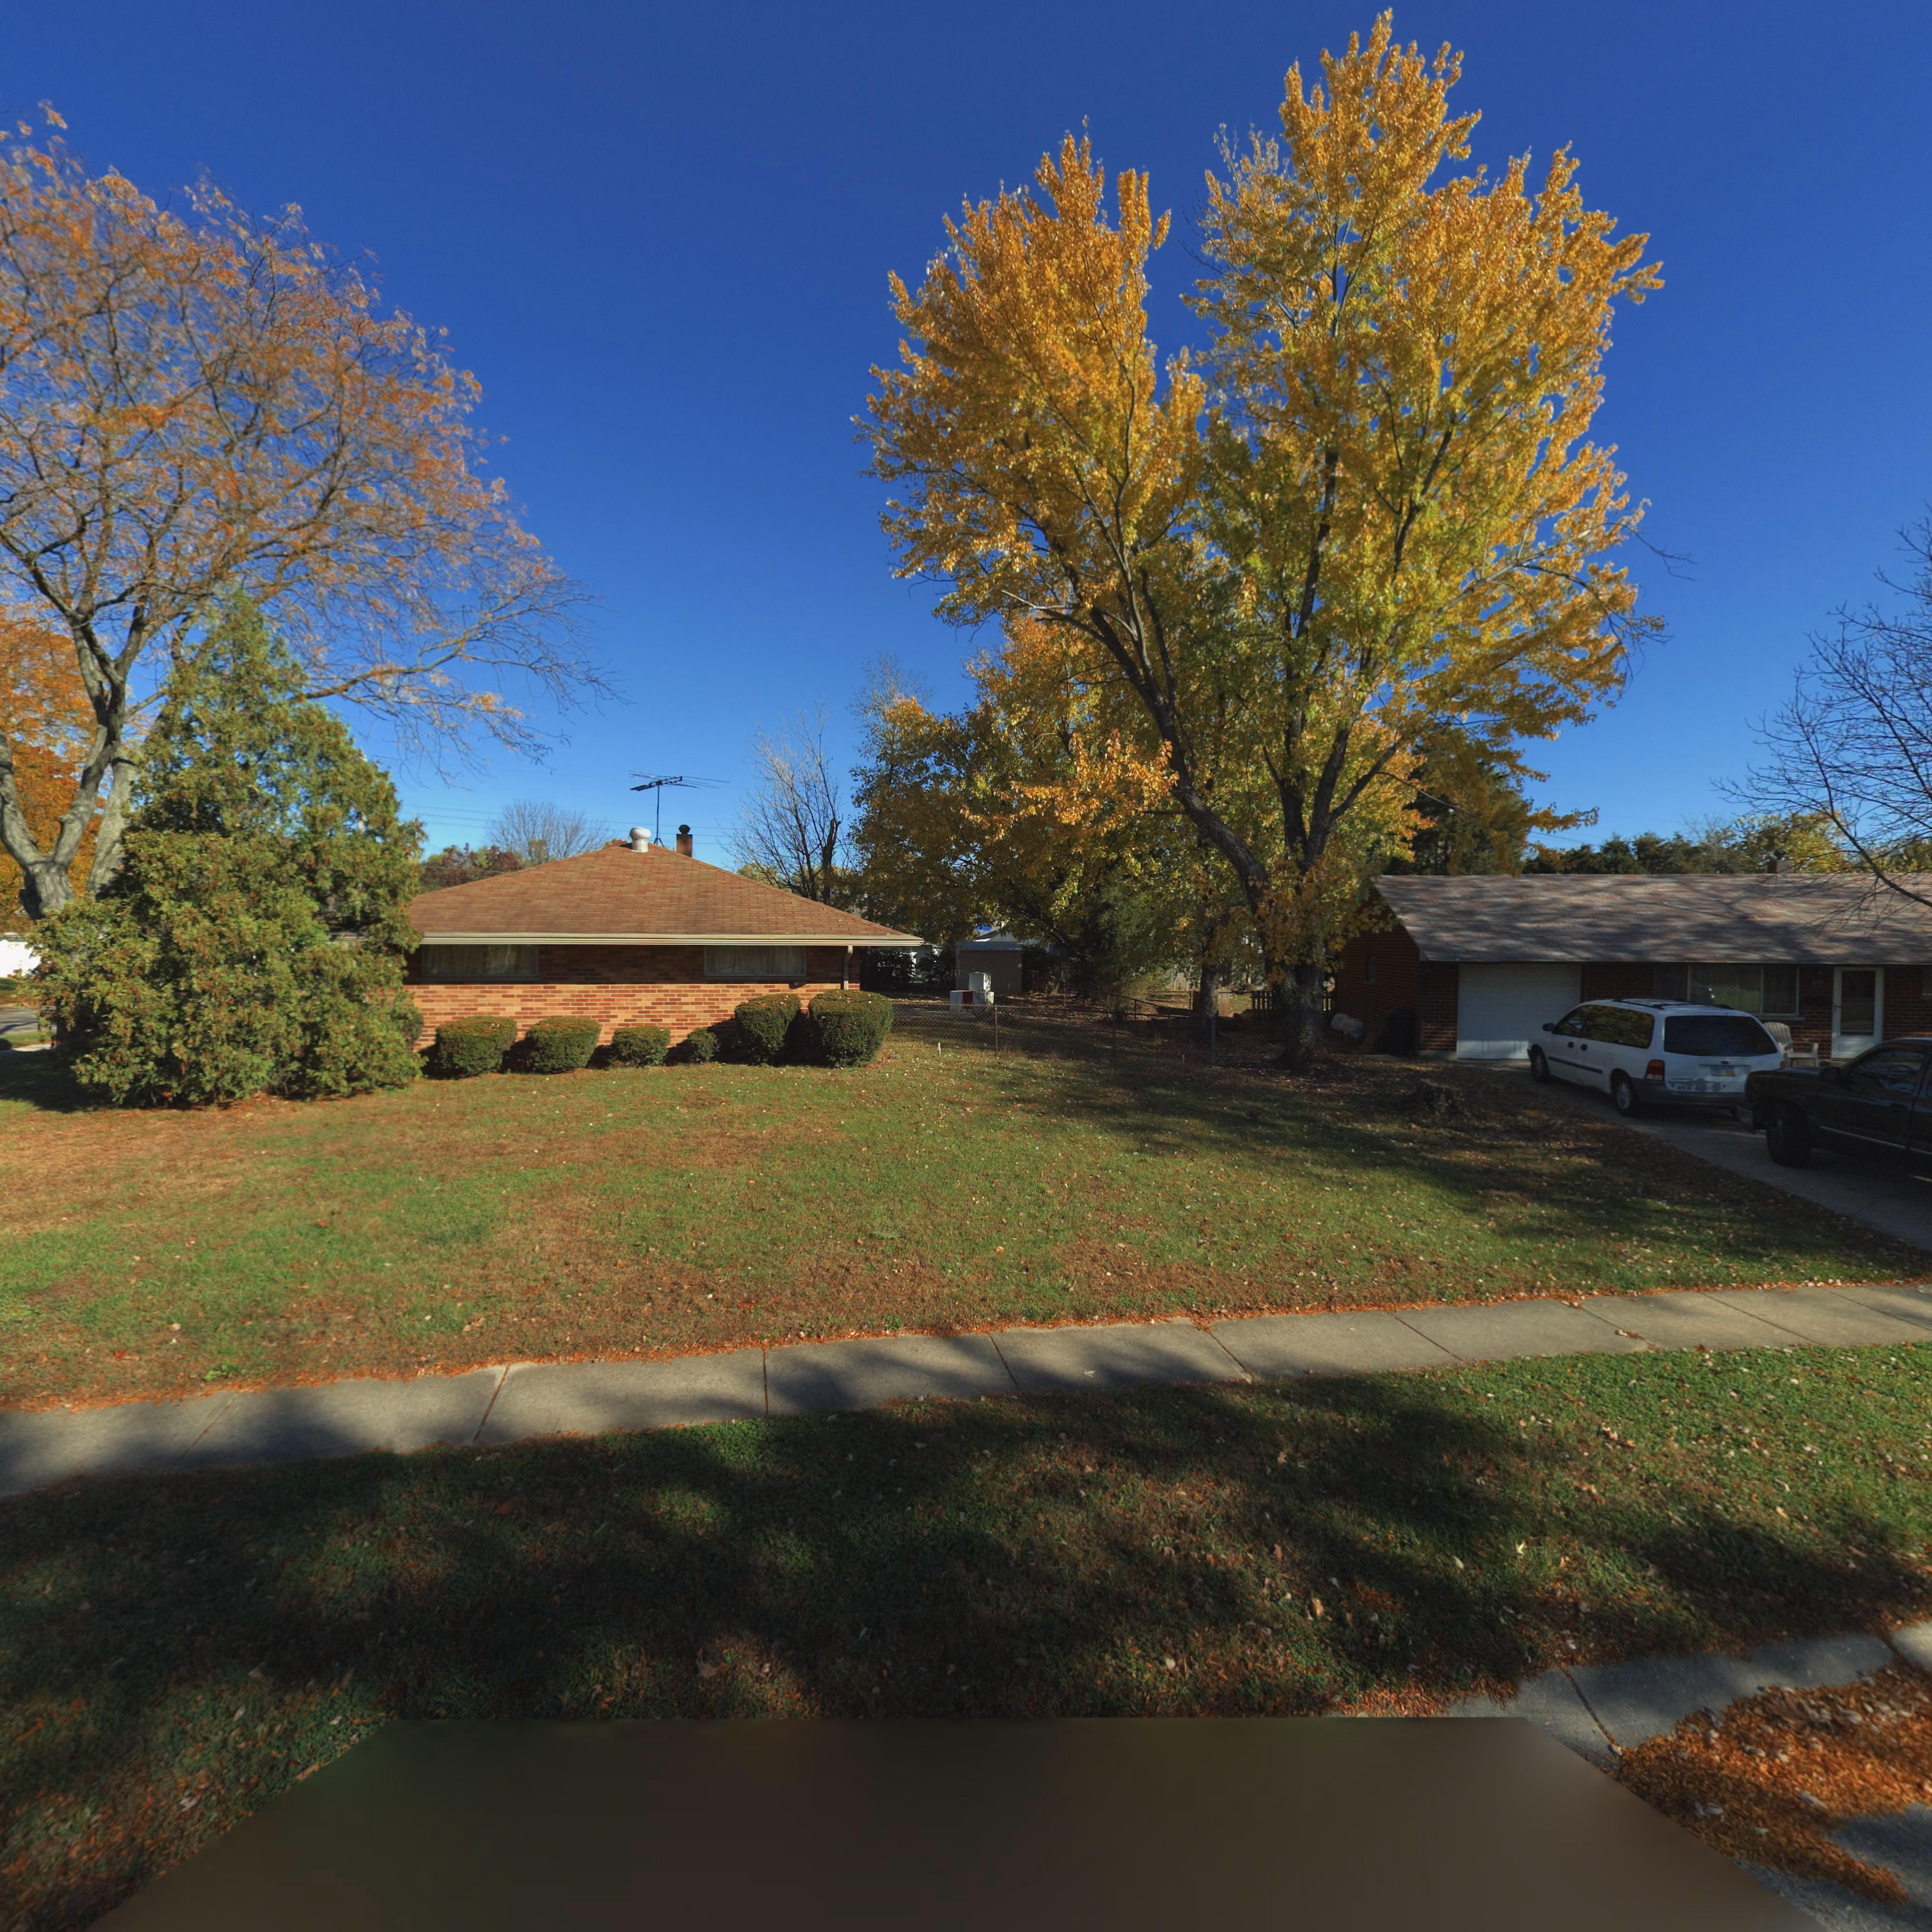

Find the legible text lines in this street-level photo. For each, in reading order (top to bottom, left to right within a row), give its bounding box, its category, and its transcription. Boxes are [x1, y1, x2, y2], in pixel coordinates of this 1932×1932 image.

[1811, 979, 1824, 985] StreetNumber: 2711